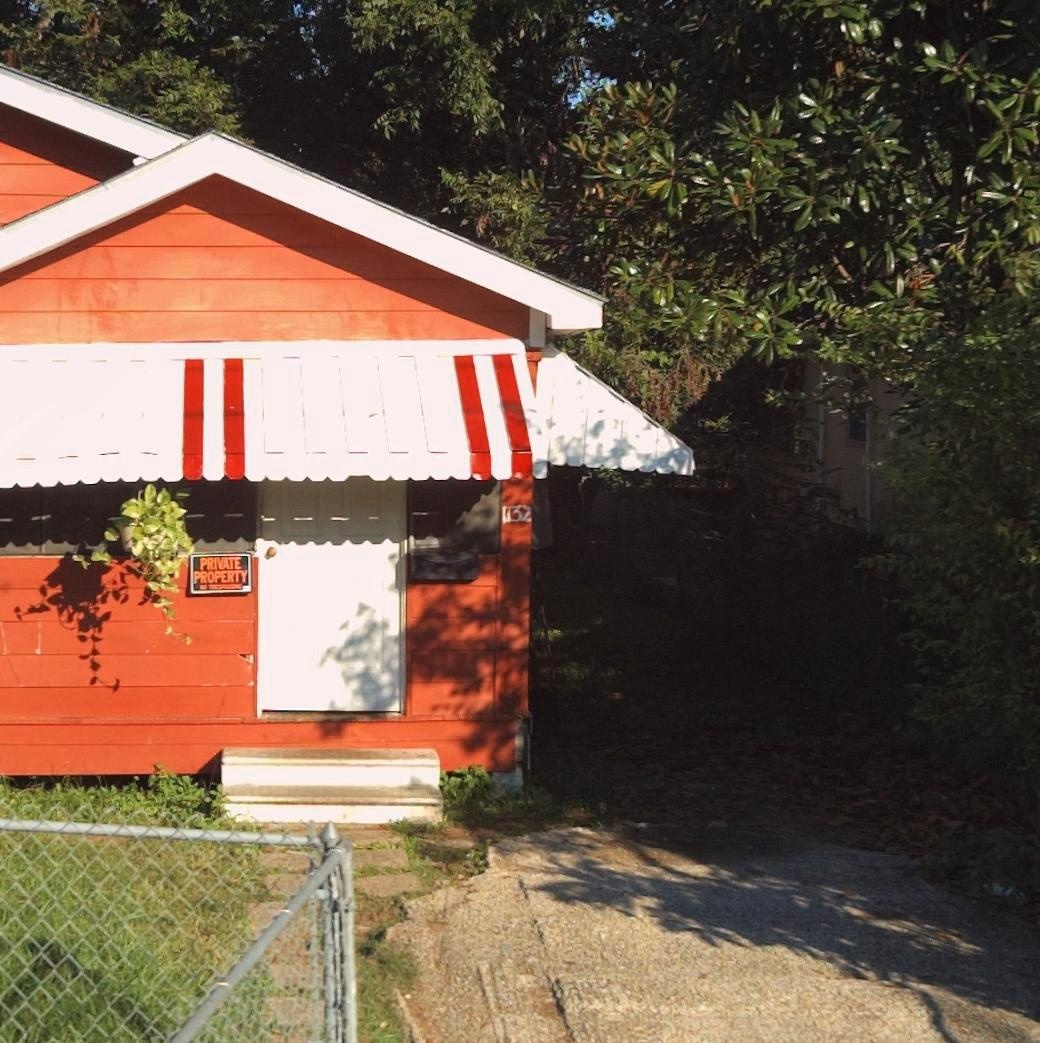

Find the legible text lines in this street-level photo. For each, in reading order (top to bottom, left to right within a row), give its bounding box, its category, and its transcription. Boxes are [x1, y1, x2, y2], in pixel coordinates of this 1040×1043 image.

[499, 503, 534, 525] StreetNumber: 1132
[198, 554, 245, 573] None: PRIVATE
[191, 567, 250, 588] None: PROPERTY